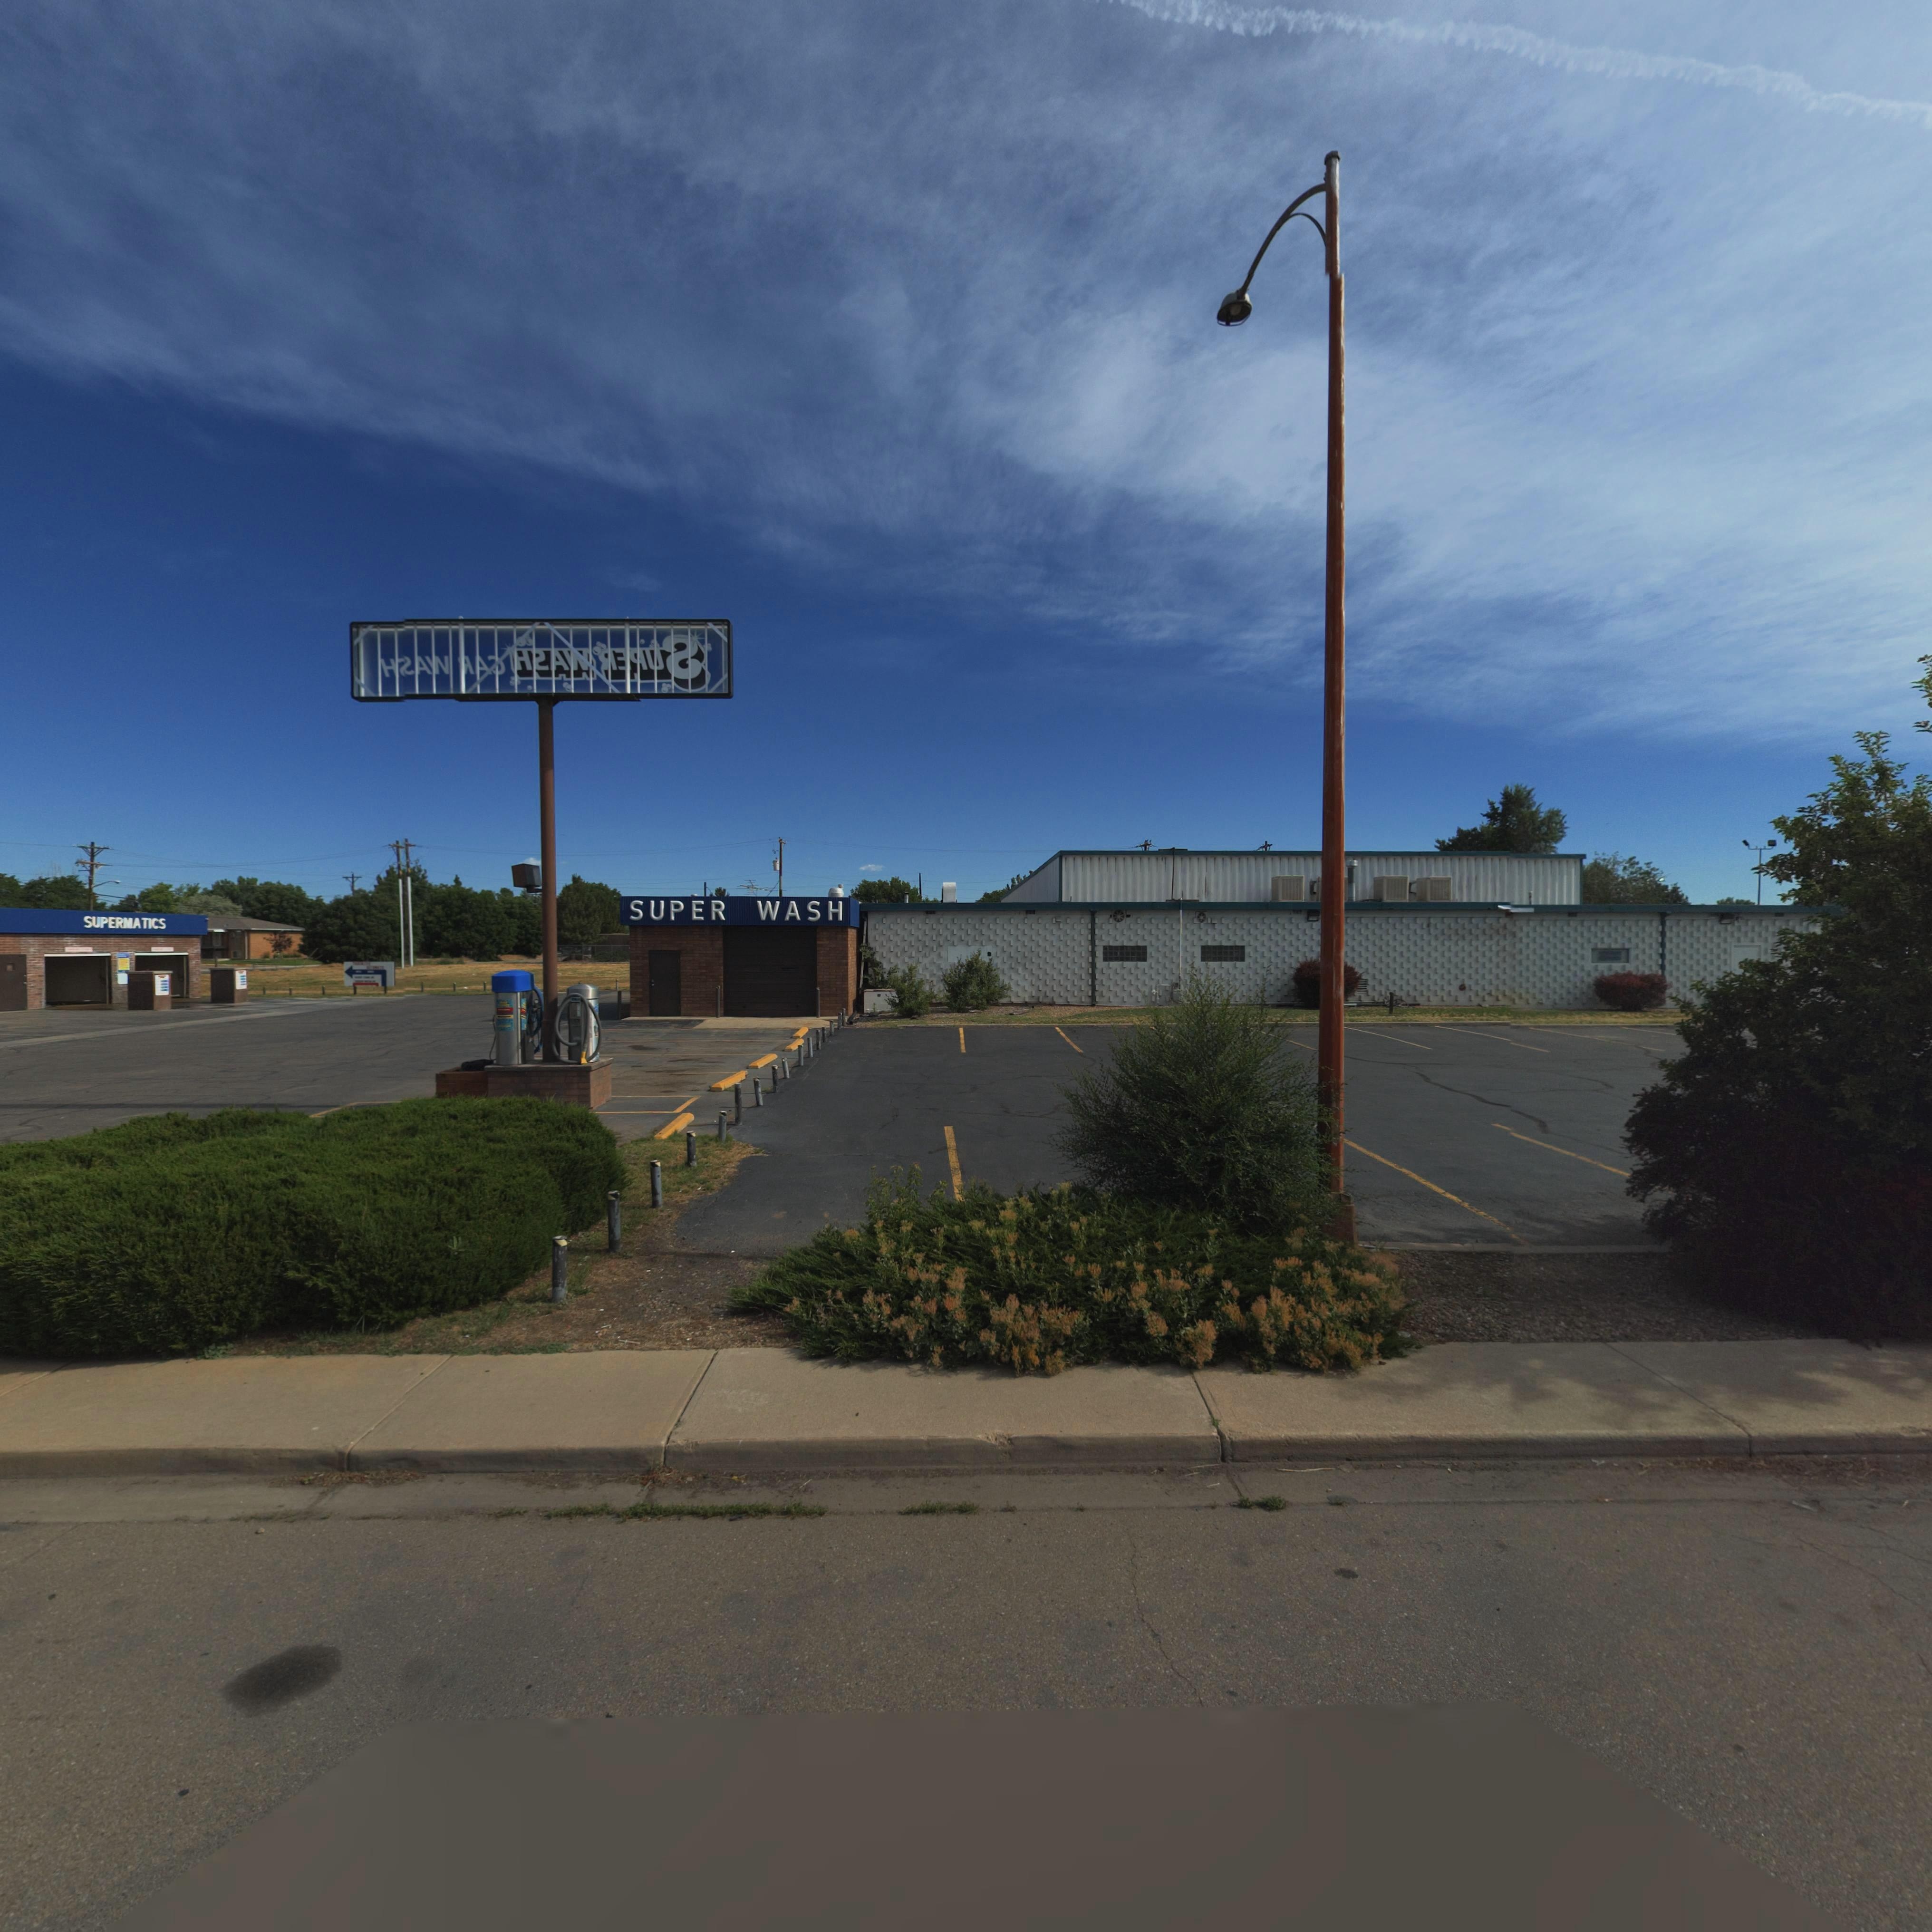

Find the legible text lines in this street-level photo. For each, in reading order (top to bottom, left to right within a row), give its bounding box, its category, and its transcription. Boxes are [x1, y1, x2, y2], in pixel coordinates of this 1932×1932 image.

[628, 899, 842, 921] BusinessName: SUPER WASH